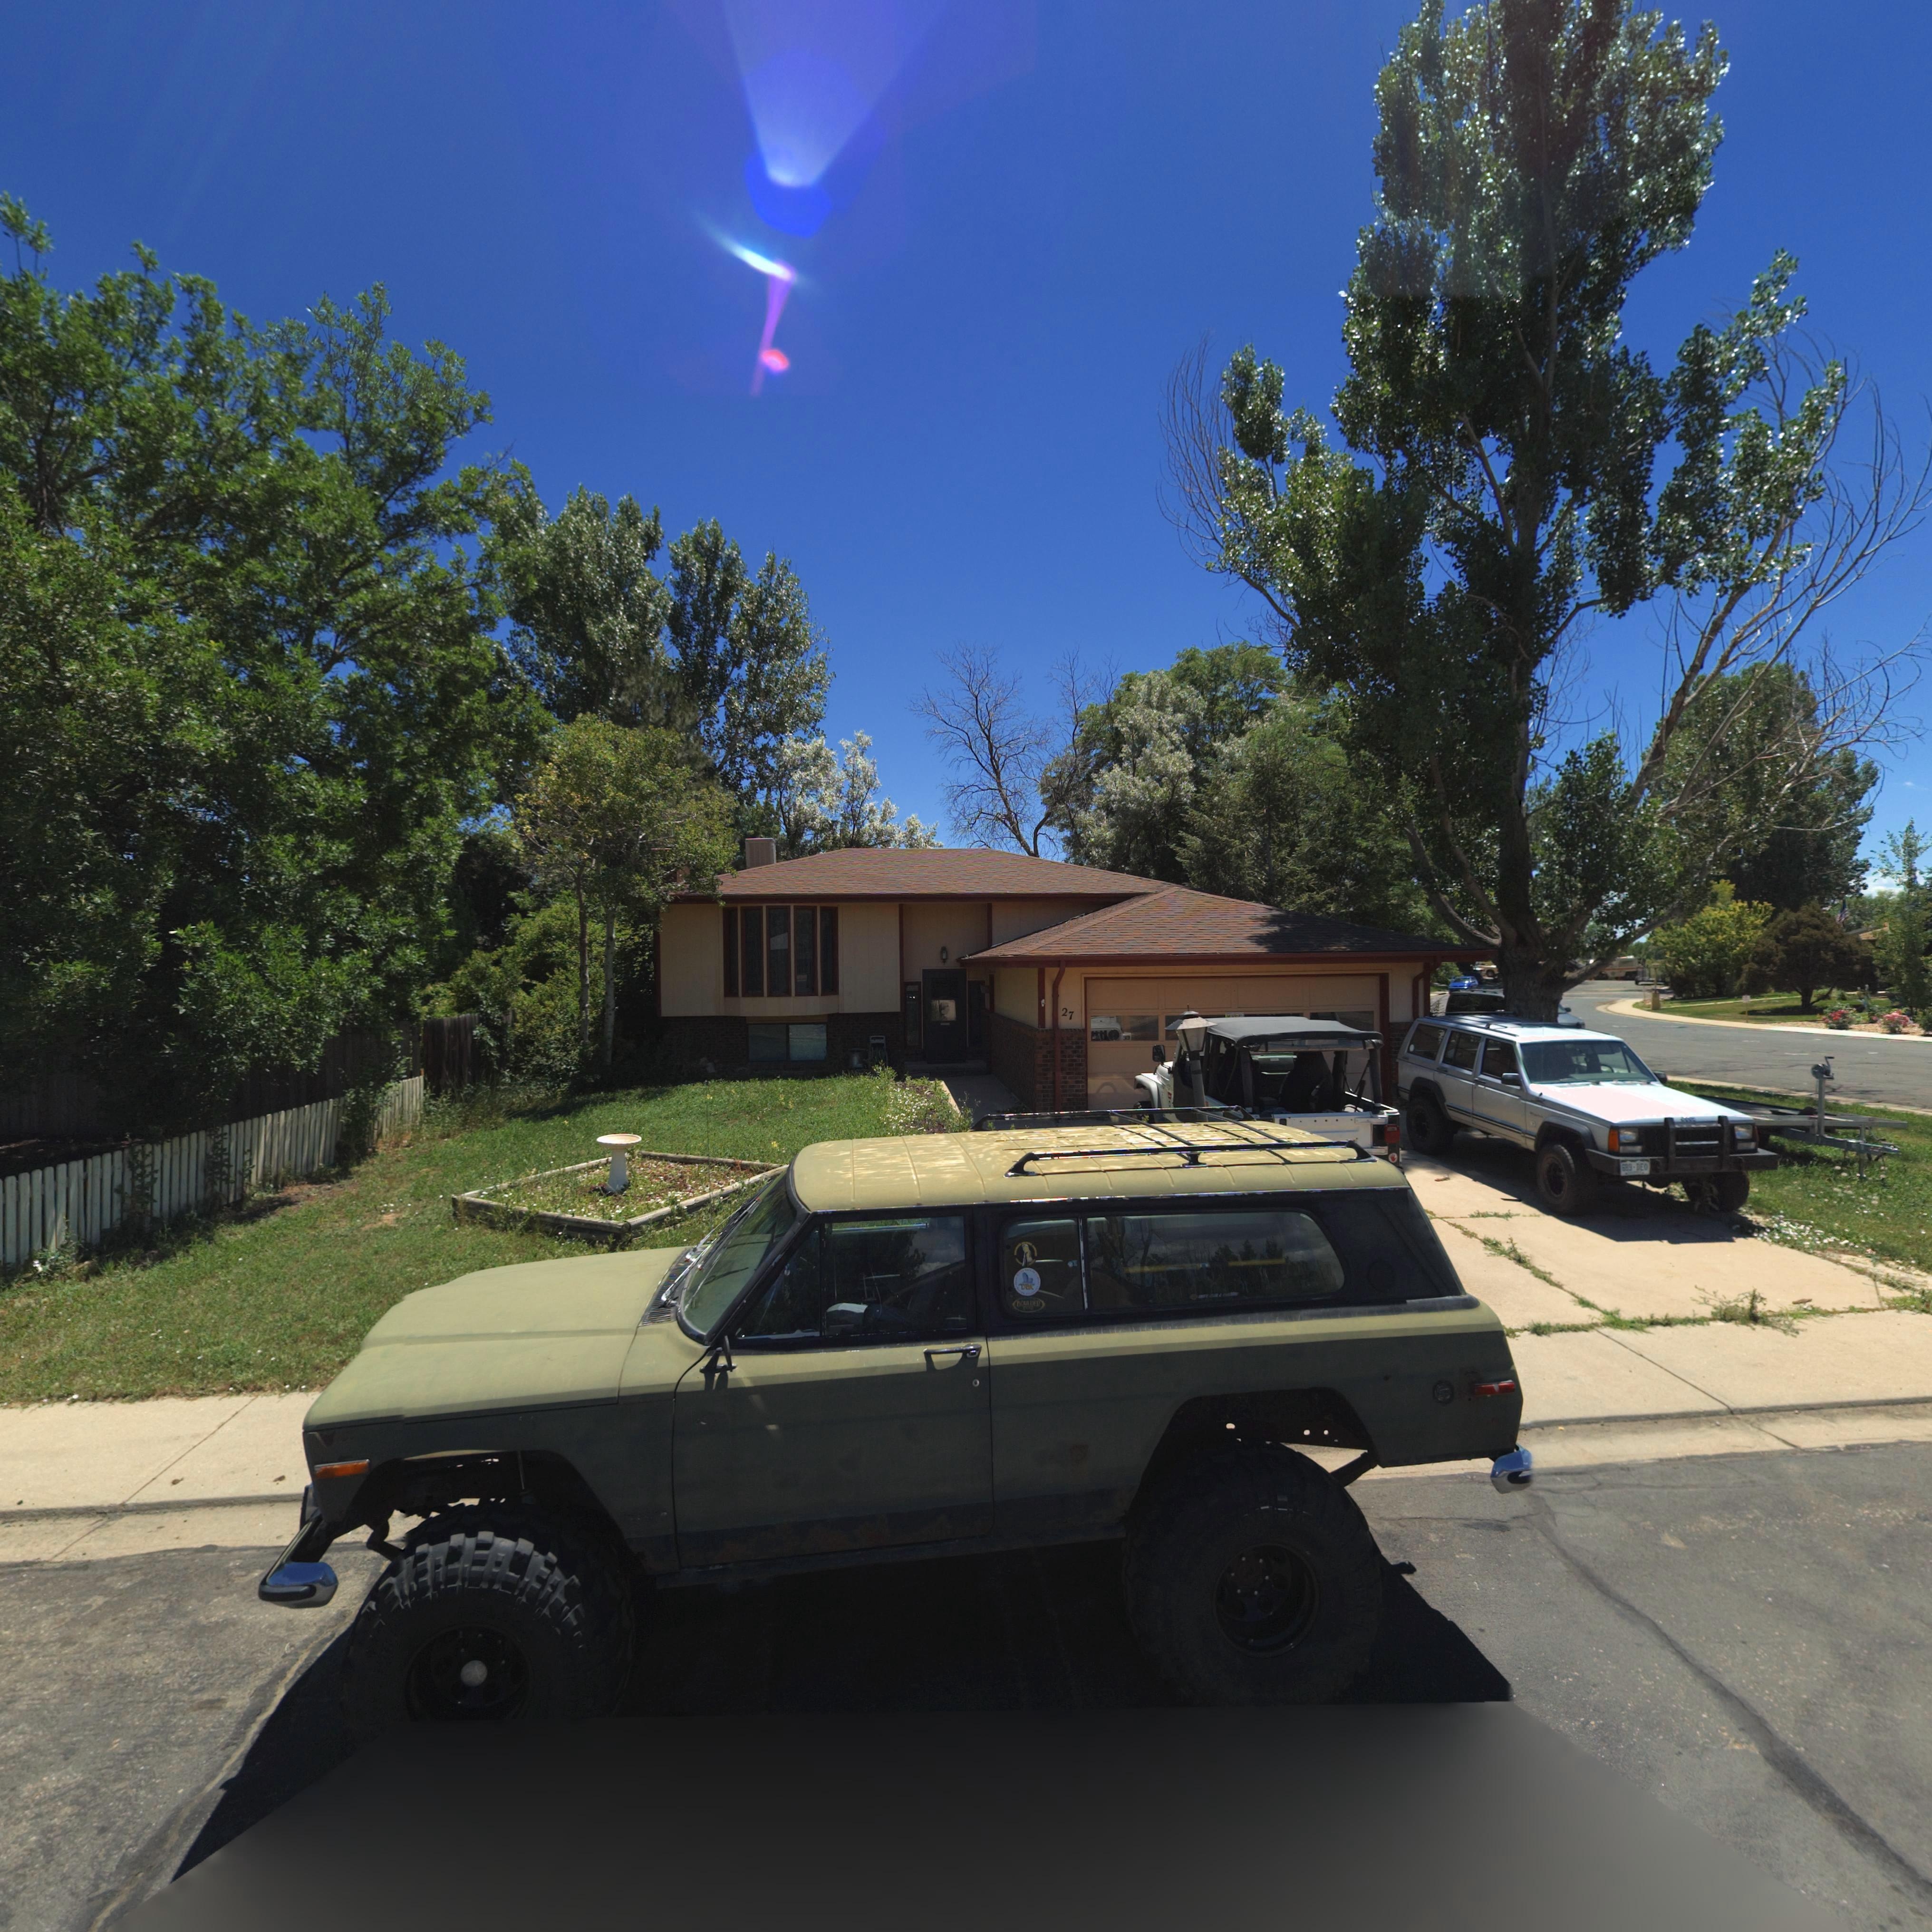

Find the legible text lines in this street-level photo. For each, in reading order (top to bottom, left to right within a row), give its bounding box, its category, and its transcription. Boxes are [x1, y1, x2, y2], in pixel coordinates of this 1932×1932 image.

[1061, 1007, 1074, 1020] StreetNumber: 27